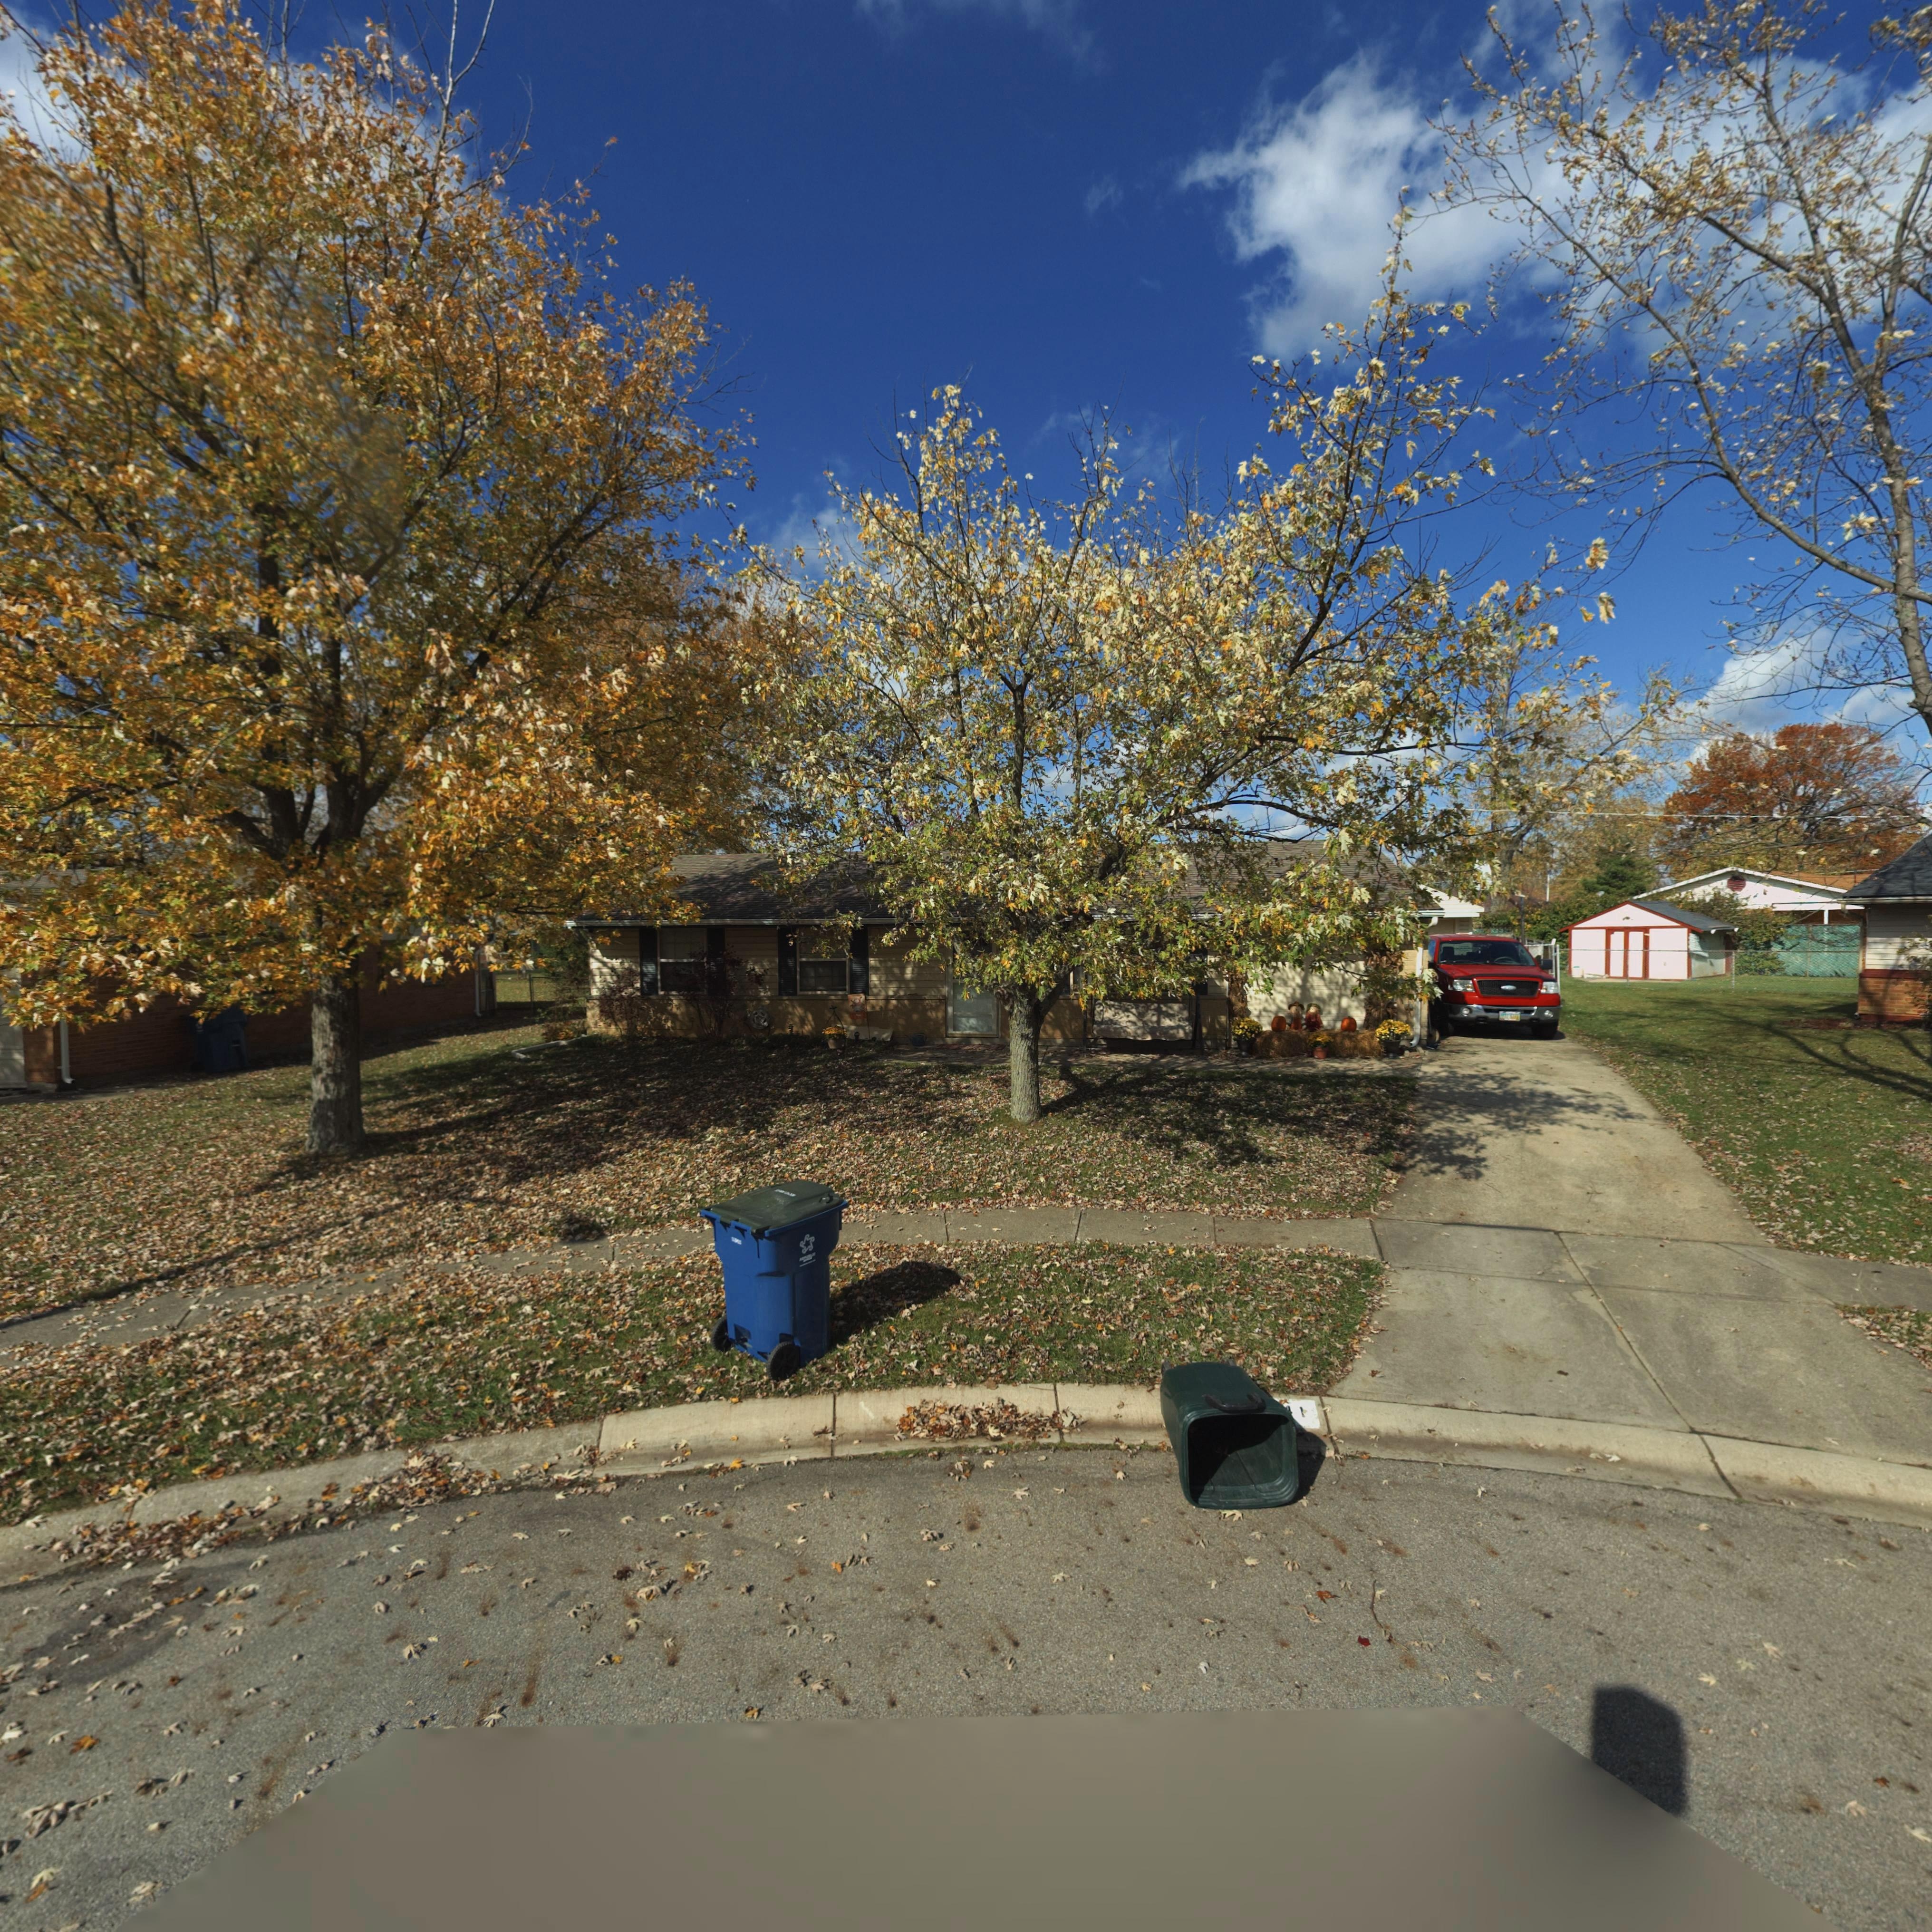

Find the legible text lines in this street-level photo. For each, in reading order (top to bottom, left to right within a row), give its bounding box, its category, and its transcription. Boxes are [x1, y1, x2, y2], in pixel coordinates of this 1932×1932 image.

[1298, 1404, 1307, 1419] StreetNumber: 1